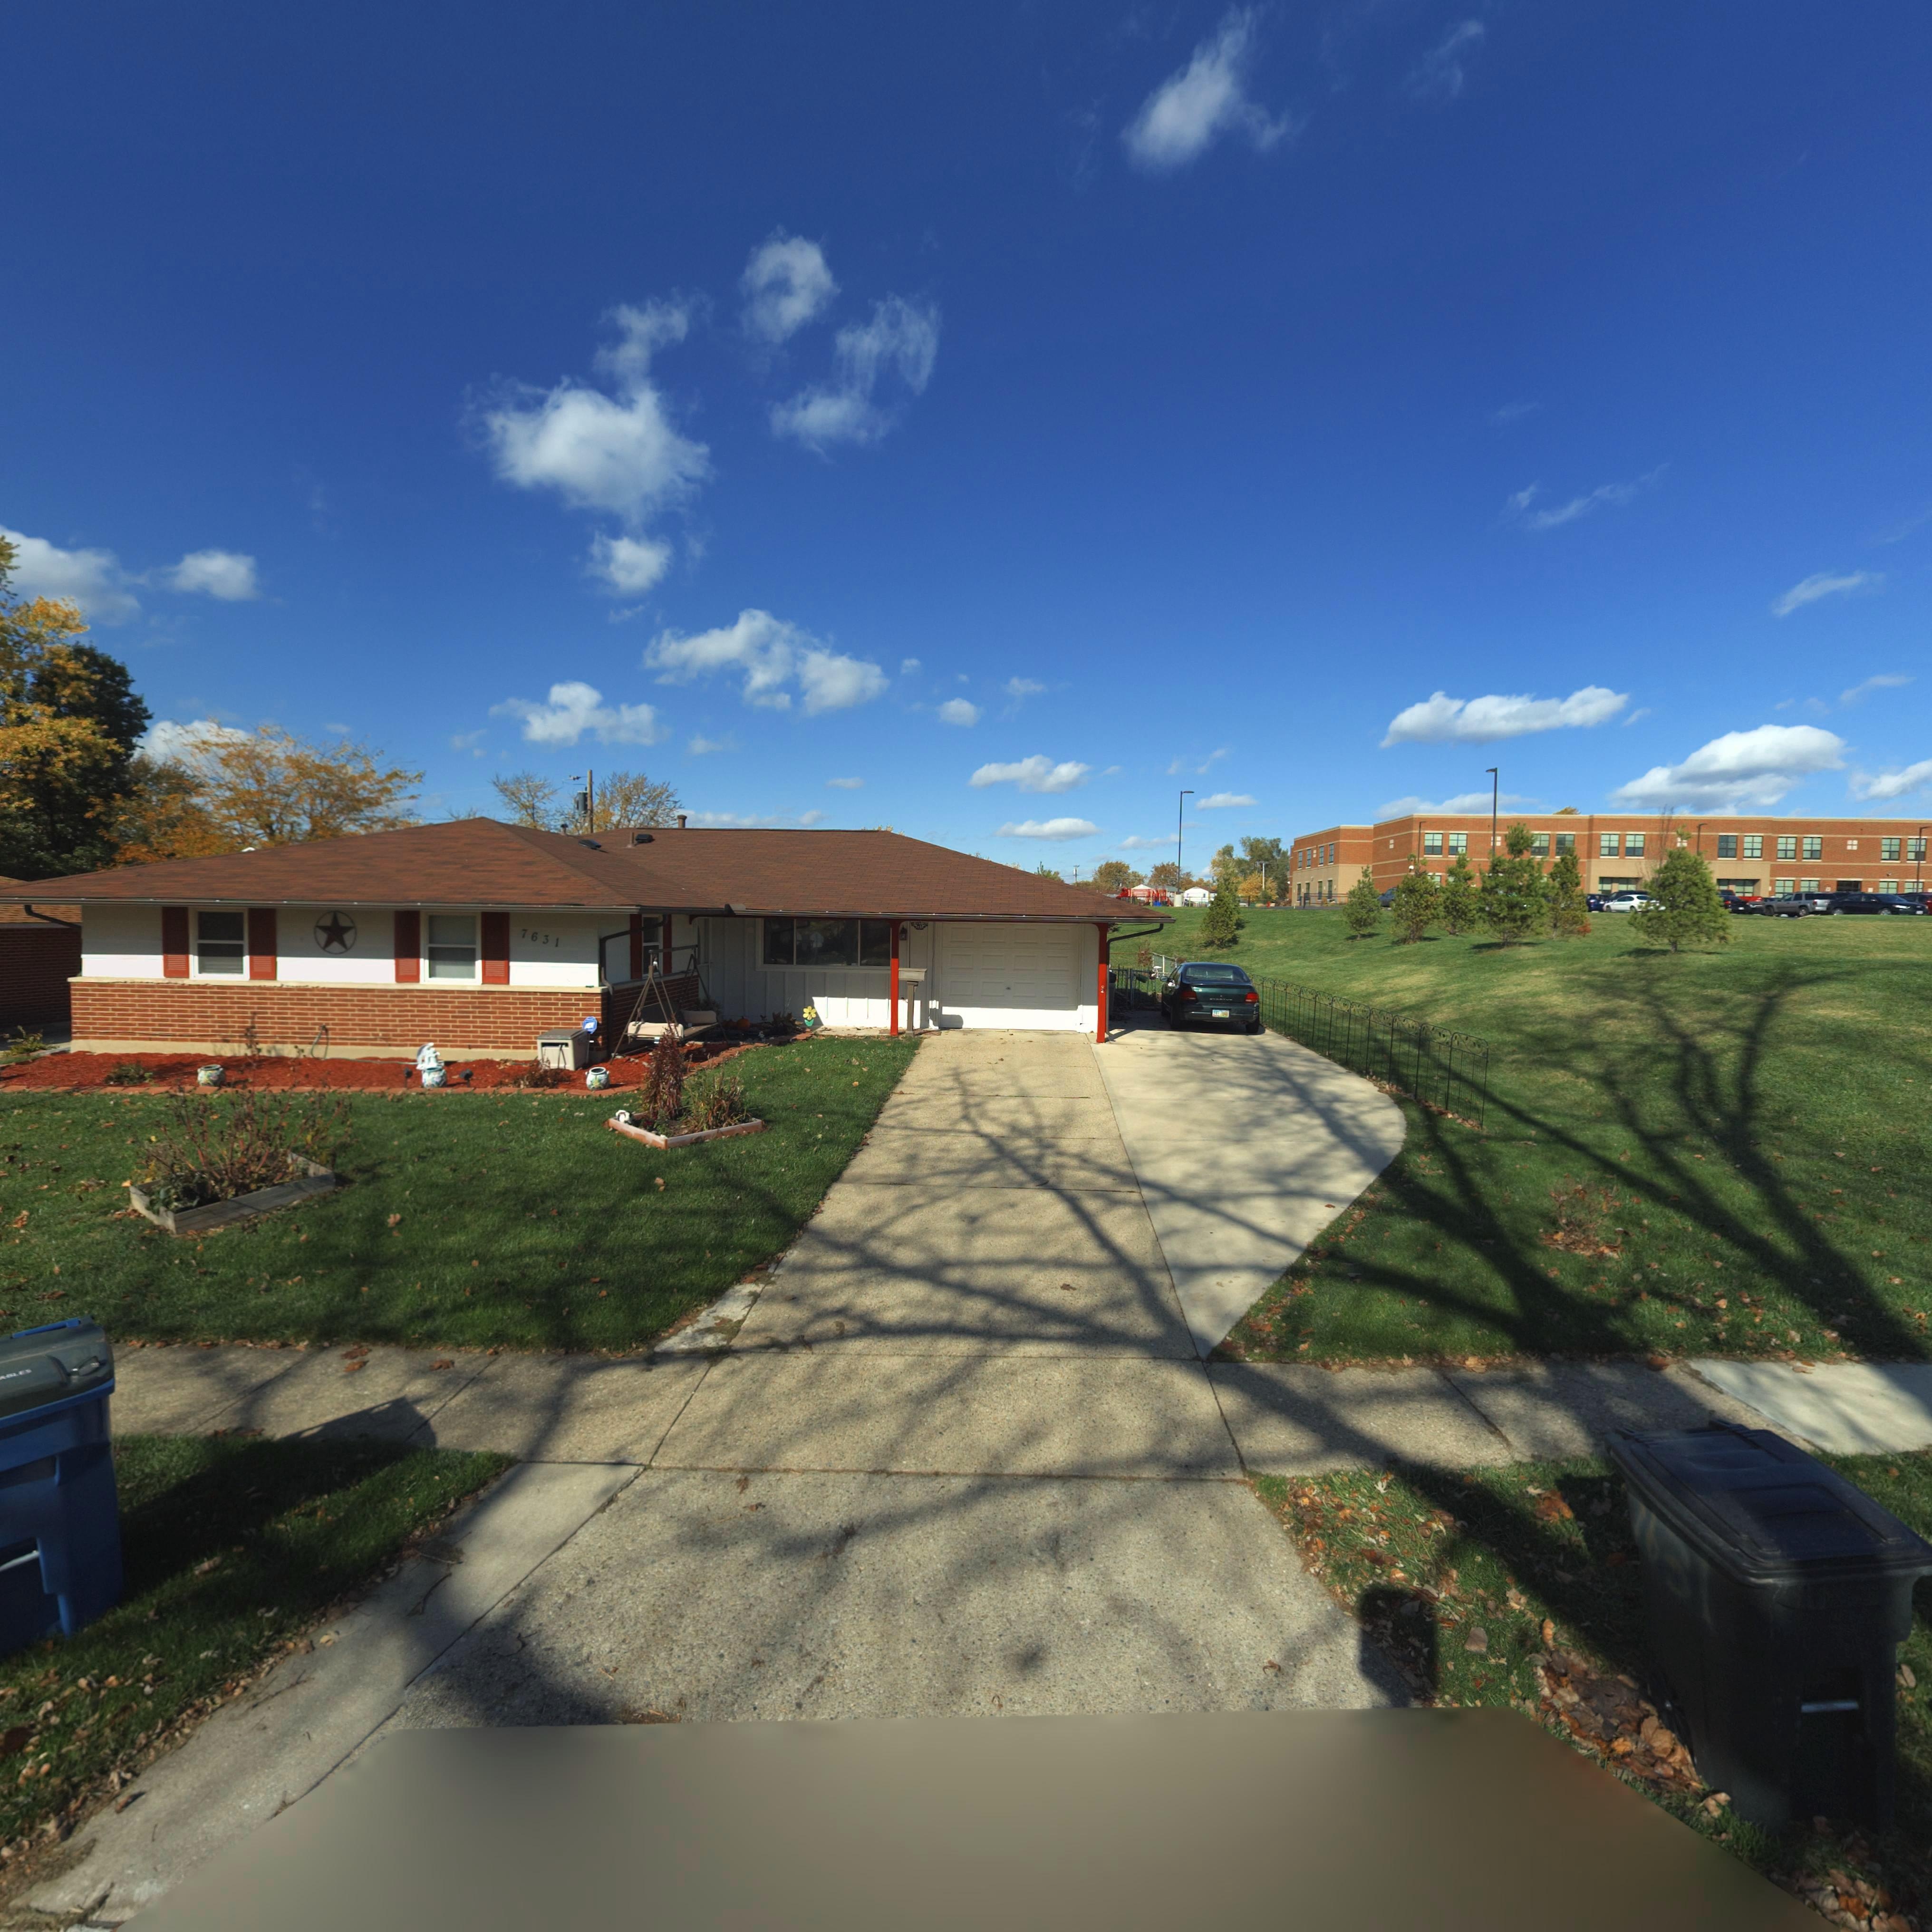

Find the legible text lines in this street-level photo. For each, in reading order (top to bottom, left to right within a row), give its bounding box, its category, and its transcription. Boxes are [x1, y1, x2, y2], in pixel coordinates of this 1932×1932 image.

[521, 928, 560, 949] StreetNumber: 7631
[1627, 1489, 1716, 1636] StreetNumber: 7631